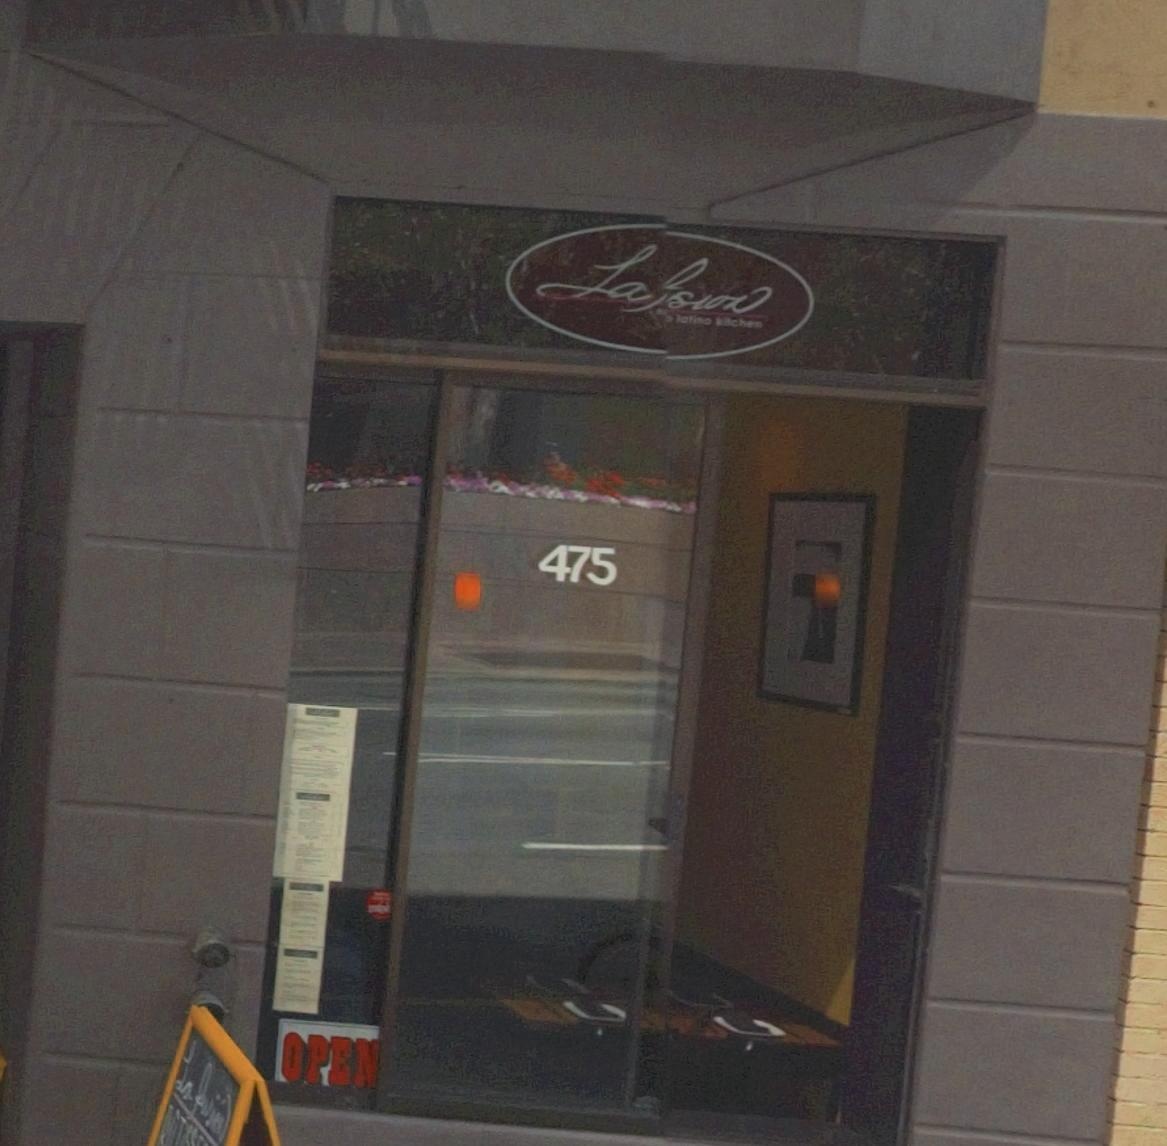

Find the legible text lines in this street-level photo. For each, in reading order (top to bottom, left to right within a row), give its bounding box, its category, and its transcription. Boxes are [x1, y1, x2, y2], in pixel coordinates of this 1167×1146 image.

[675, 310, 764, 332] None: latino kitchen
[536, 540, 623, 590] StreetNumber: 475
[278, 1029, 381, 1090] None: OPEN